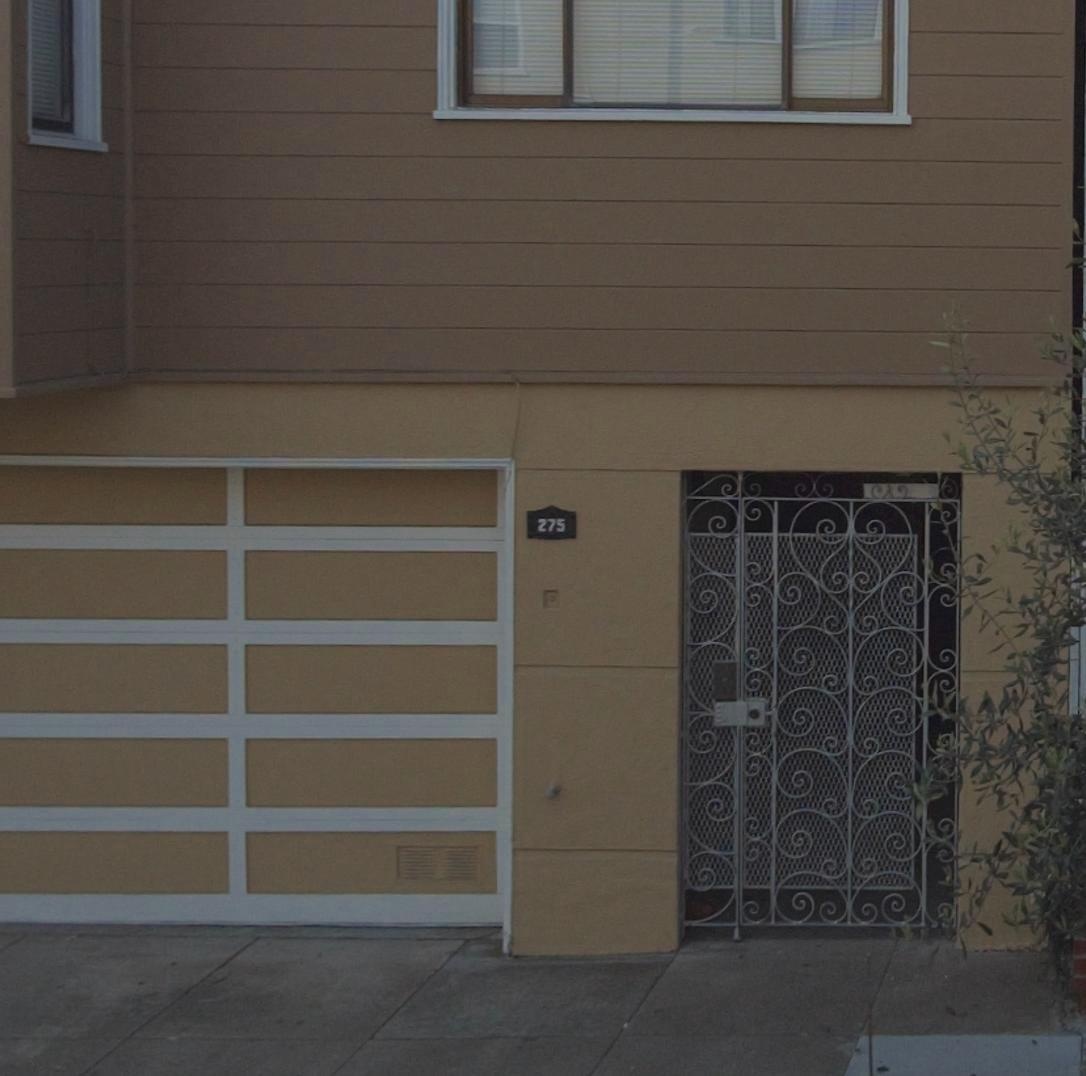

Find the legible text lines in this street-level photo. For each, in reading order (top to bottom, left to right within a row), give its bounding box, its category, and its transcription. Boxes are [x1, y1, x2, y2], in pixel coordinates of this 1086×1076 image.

[536, 517, 567, 534] StreetNumber: 275